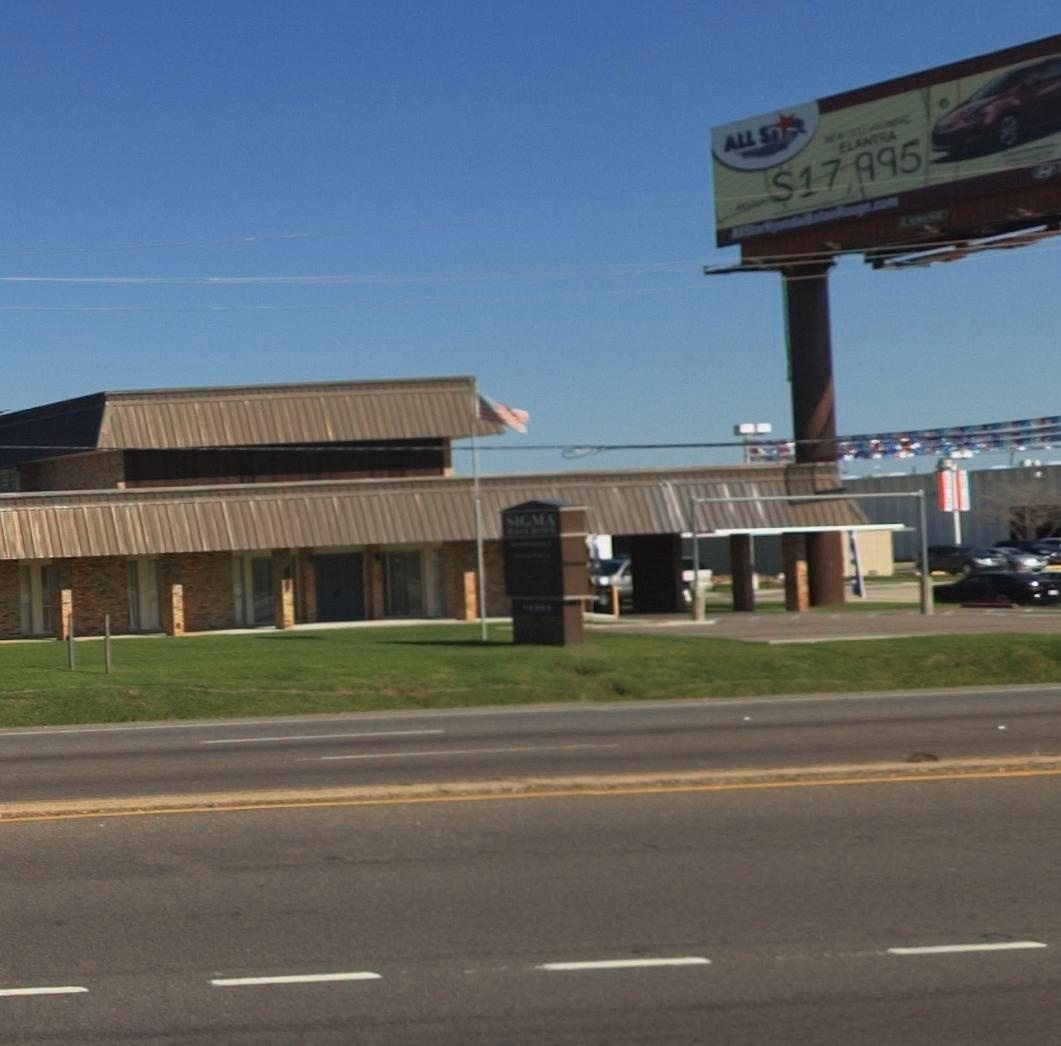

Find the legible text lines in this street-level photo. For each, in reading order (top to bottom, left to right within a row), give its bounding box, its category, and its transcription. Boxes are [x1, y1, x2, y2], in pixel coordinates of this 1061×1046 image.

[720, 112, 810, 156] BusinessName: ALL S**R
[837, 125, 902, 158] None: ELANTRA
[794, 135, 924, 196] None: 17995
[504, 511, 557, 529] BusinessName: SIGMA